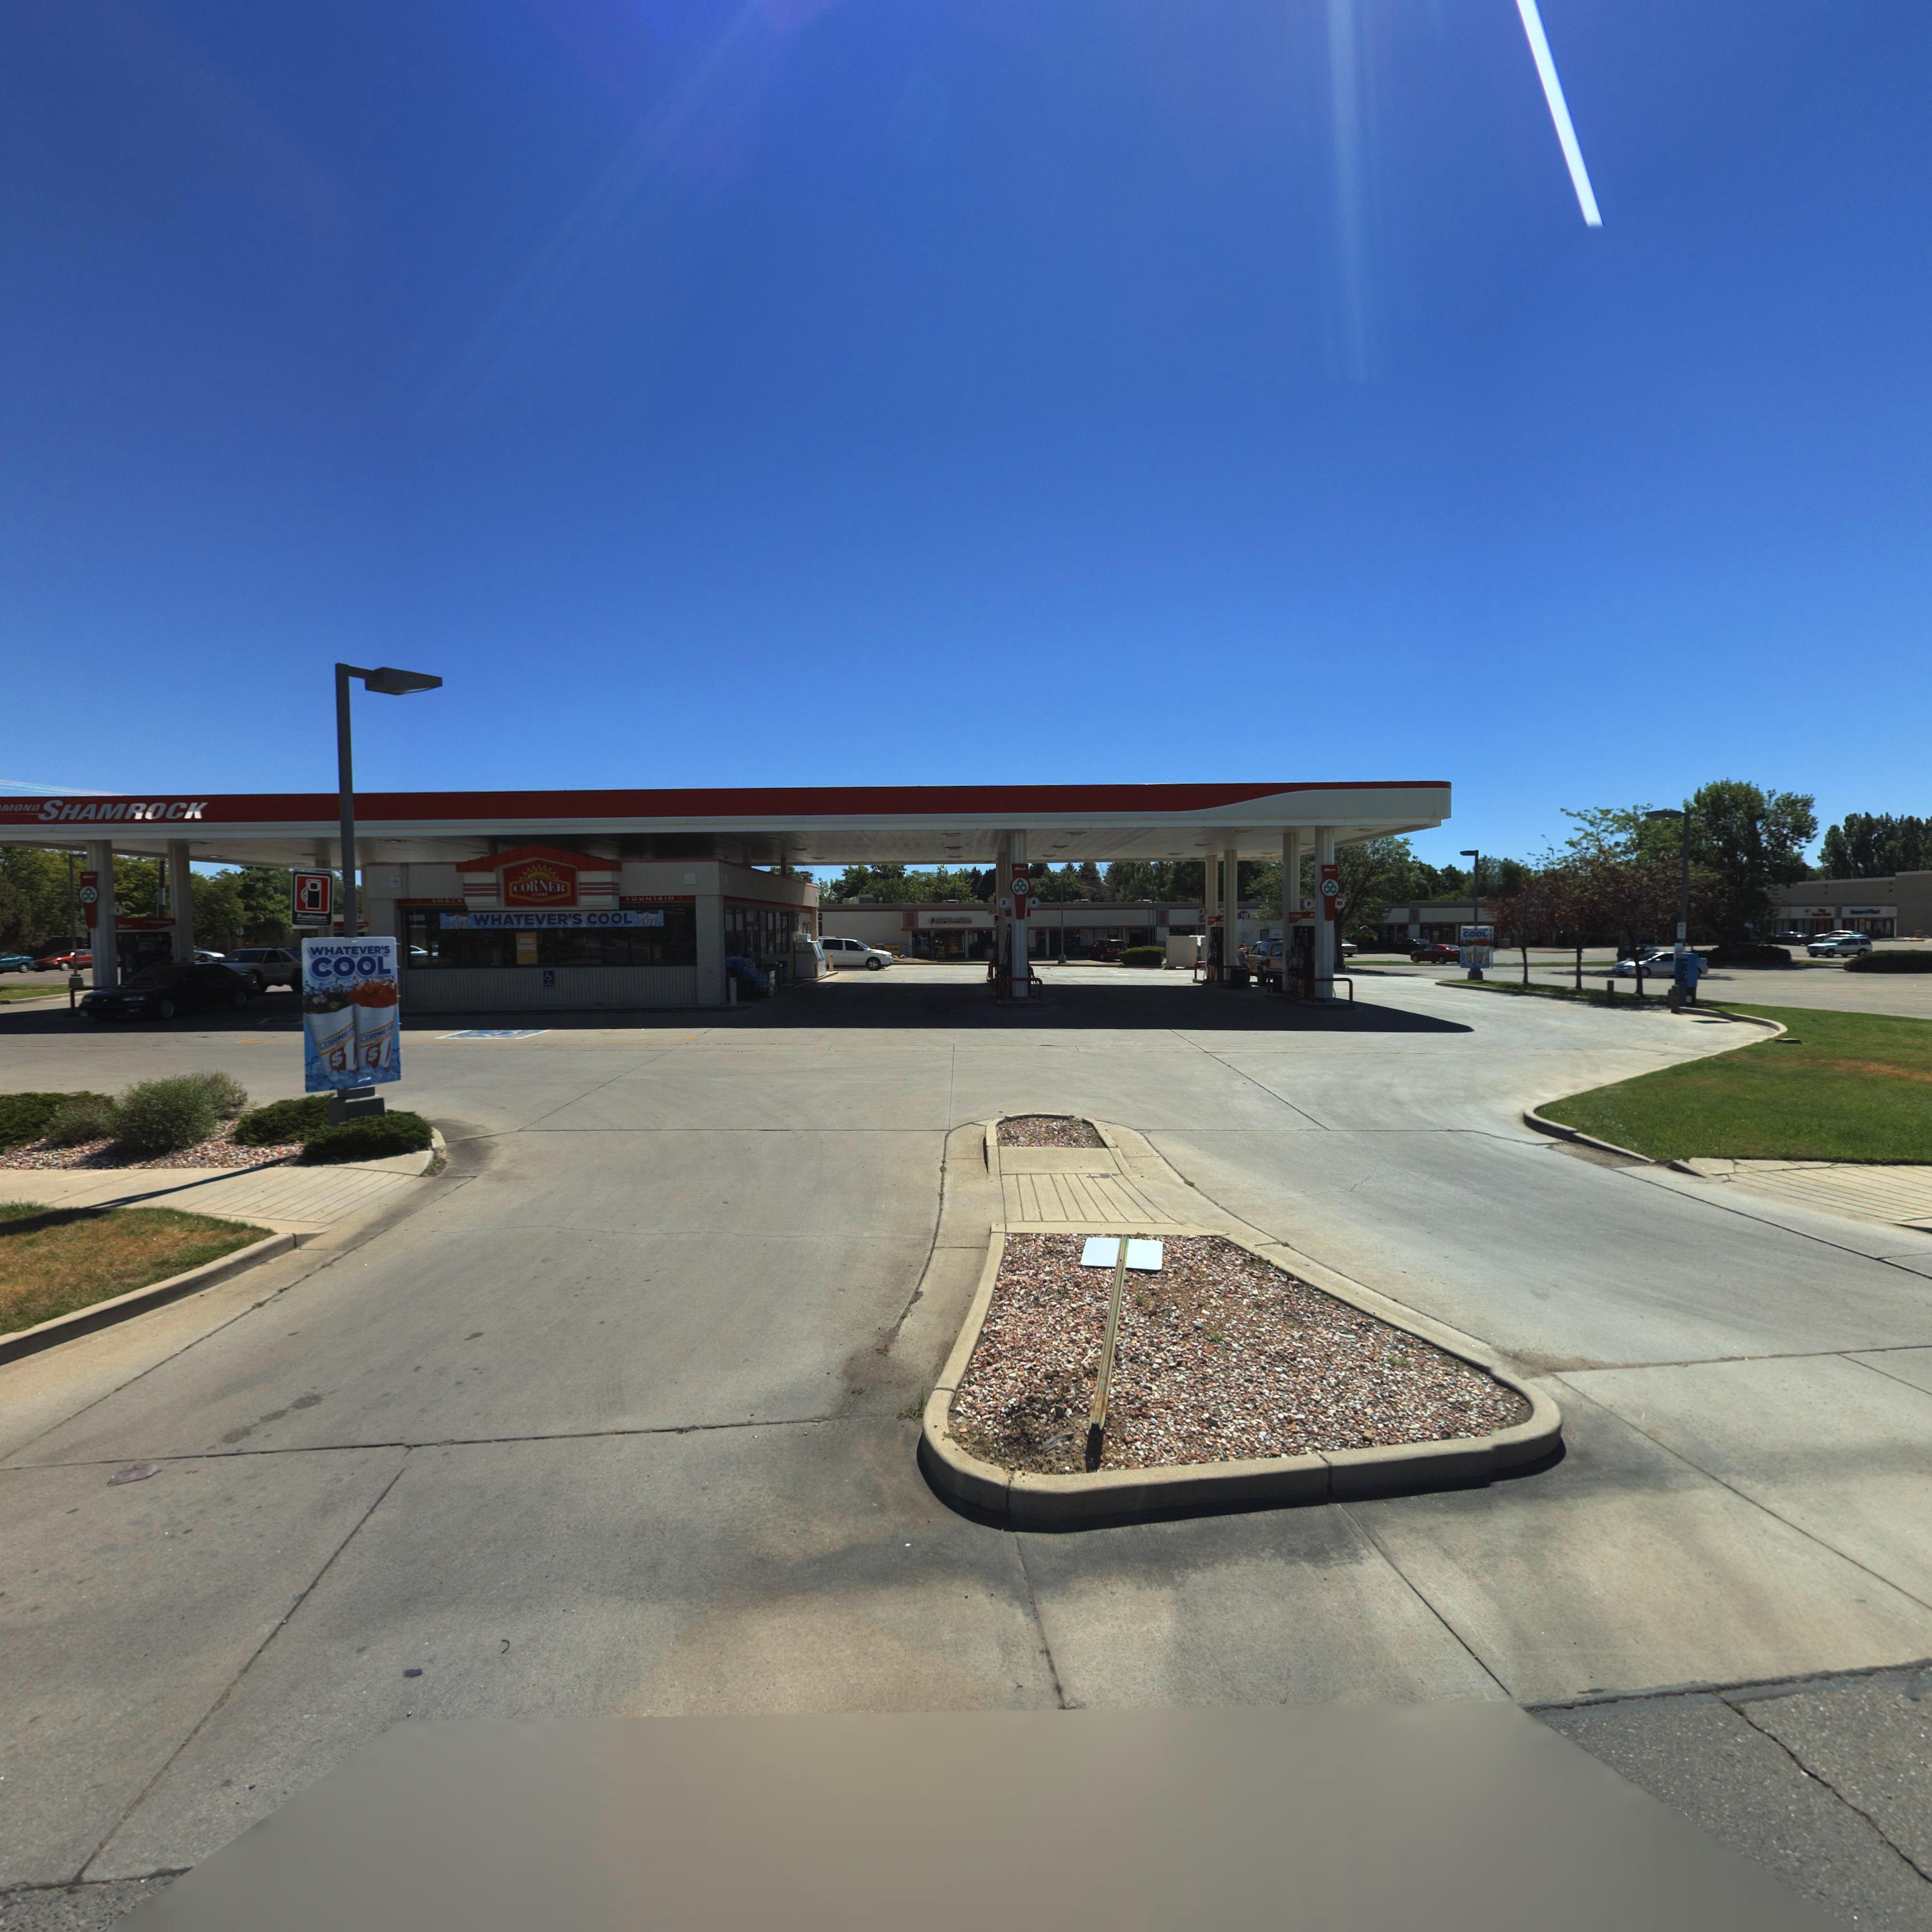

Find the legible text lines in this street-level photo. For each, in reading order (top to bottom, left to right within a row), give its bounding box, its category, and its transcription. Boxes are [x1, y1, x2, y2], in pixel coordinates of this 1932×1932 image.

[1, 804, 40, 811] BusinessName: MOND
[37, 799, 209, 821] BusinessName: SHAMROCK
[513, 879, 565, 892] BusinessName: CORNER
[531, 892, 548, 896] BusinessName: ST***
[408, 914, 425, 920] StreetNumber: 1850